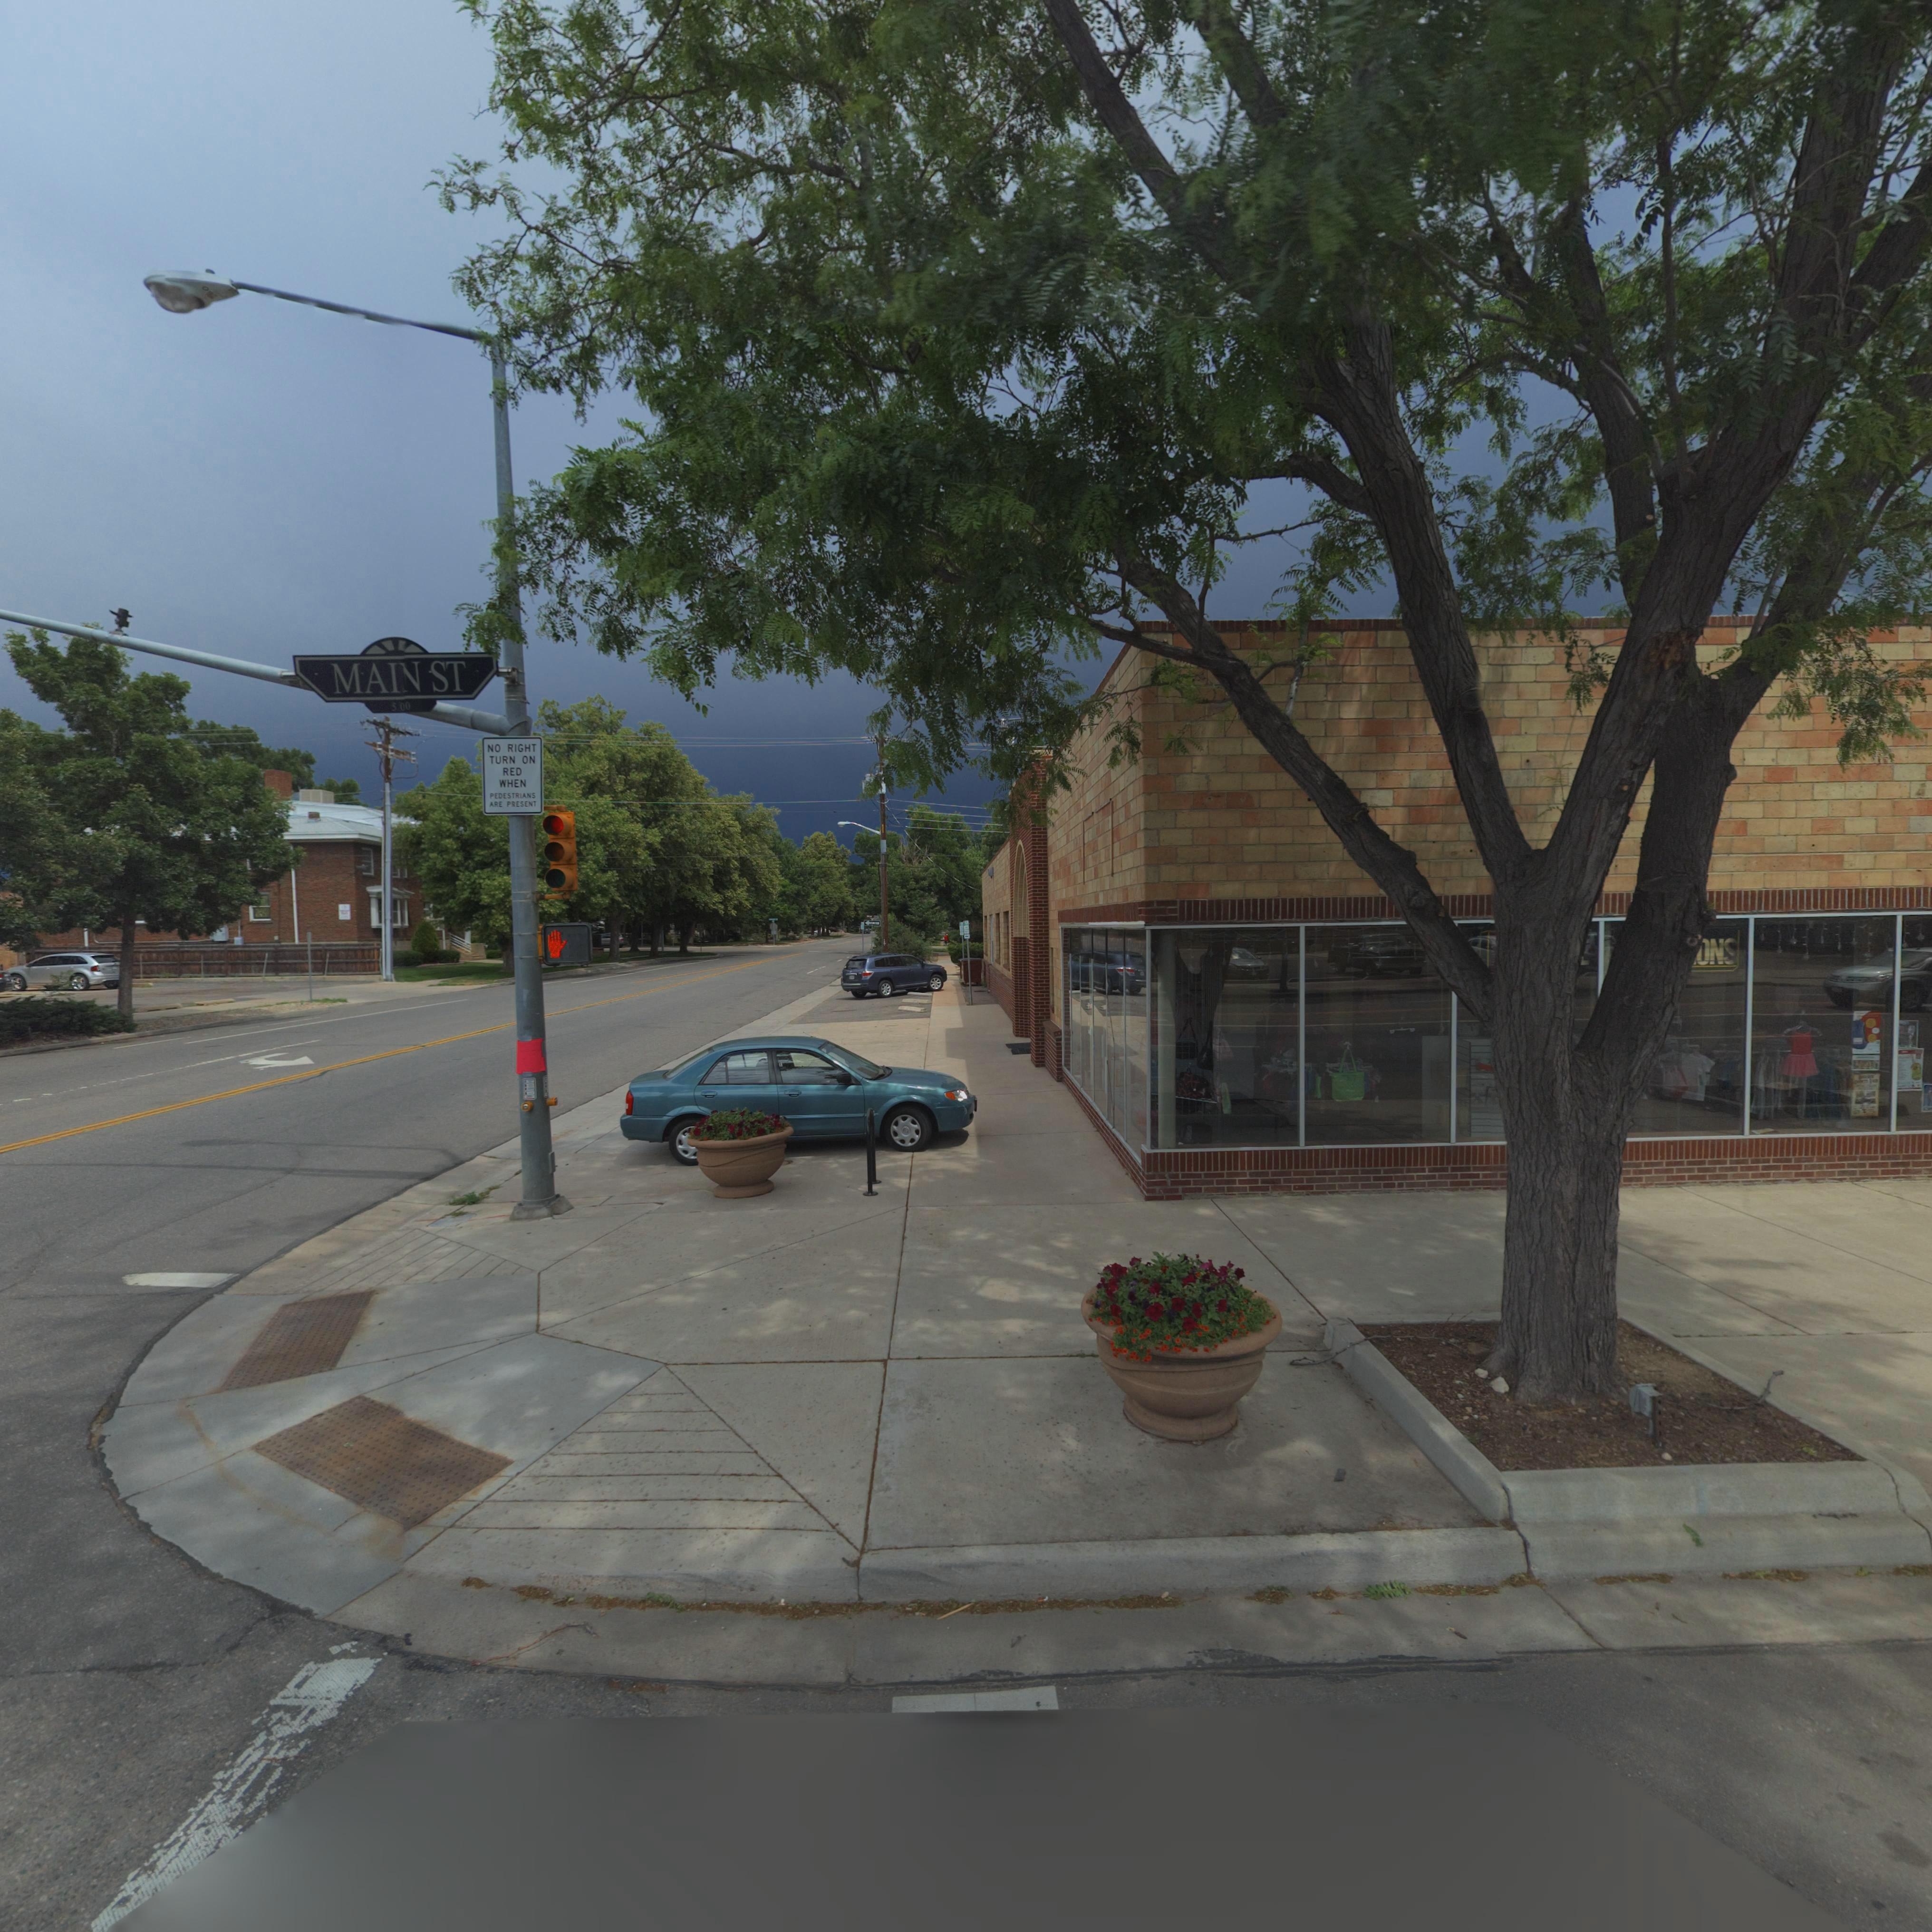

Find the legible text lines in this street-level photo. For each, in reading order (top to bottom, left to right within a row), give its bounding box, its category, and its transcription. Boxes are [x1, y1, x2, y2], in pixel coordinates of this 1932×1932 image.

[329, 660, 467, 694] StreetName: MAIN ST
[390, 700, 412, 713] StreetNumberRange: 500
[1696, 936, 1738, 966] BusinessName: *NS